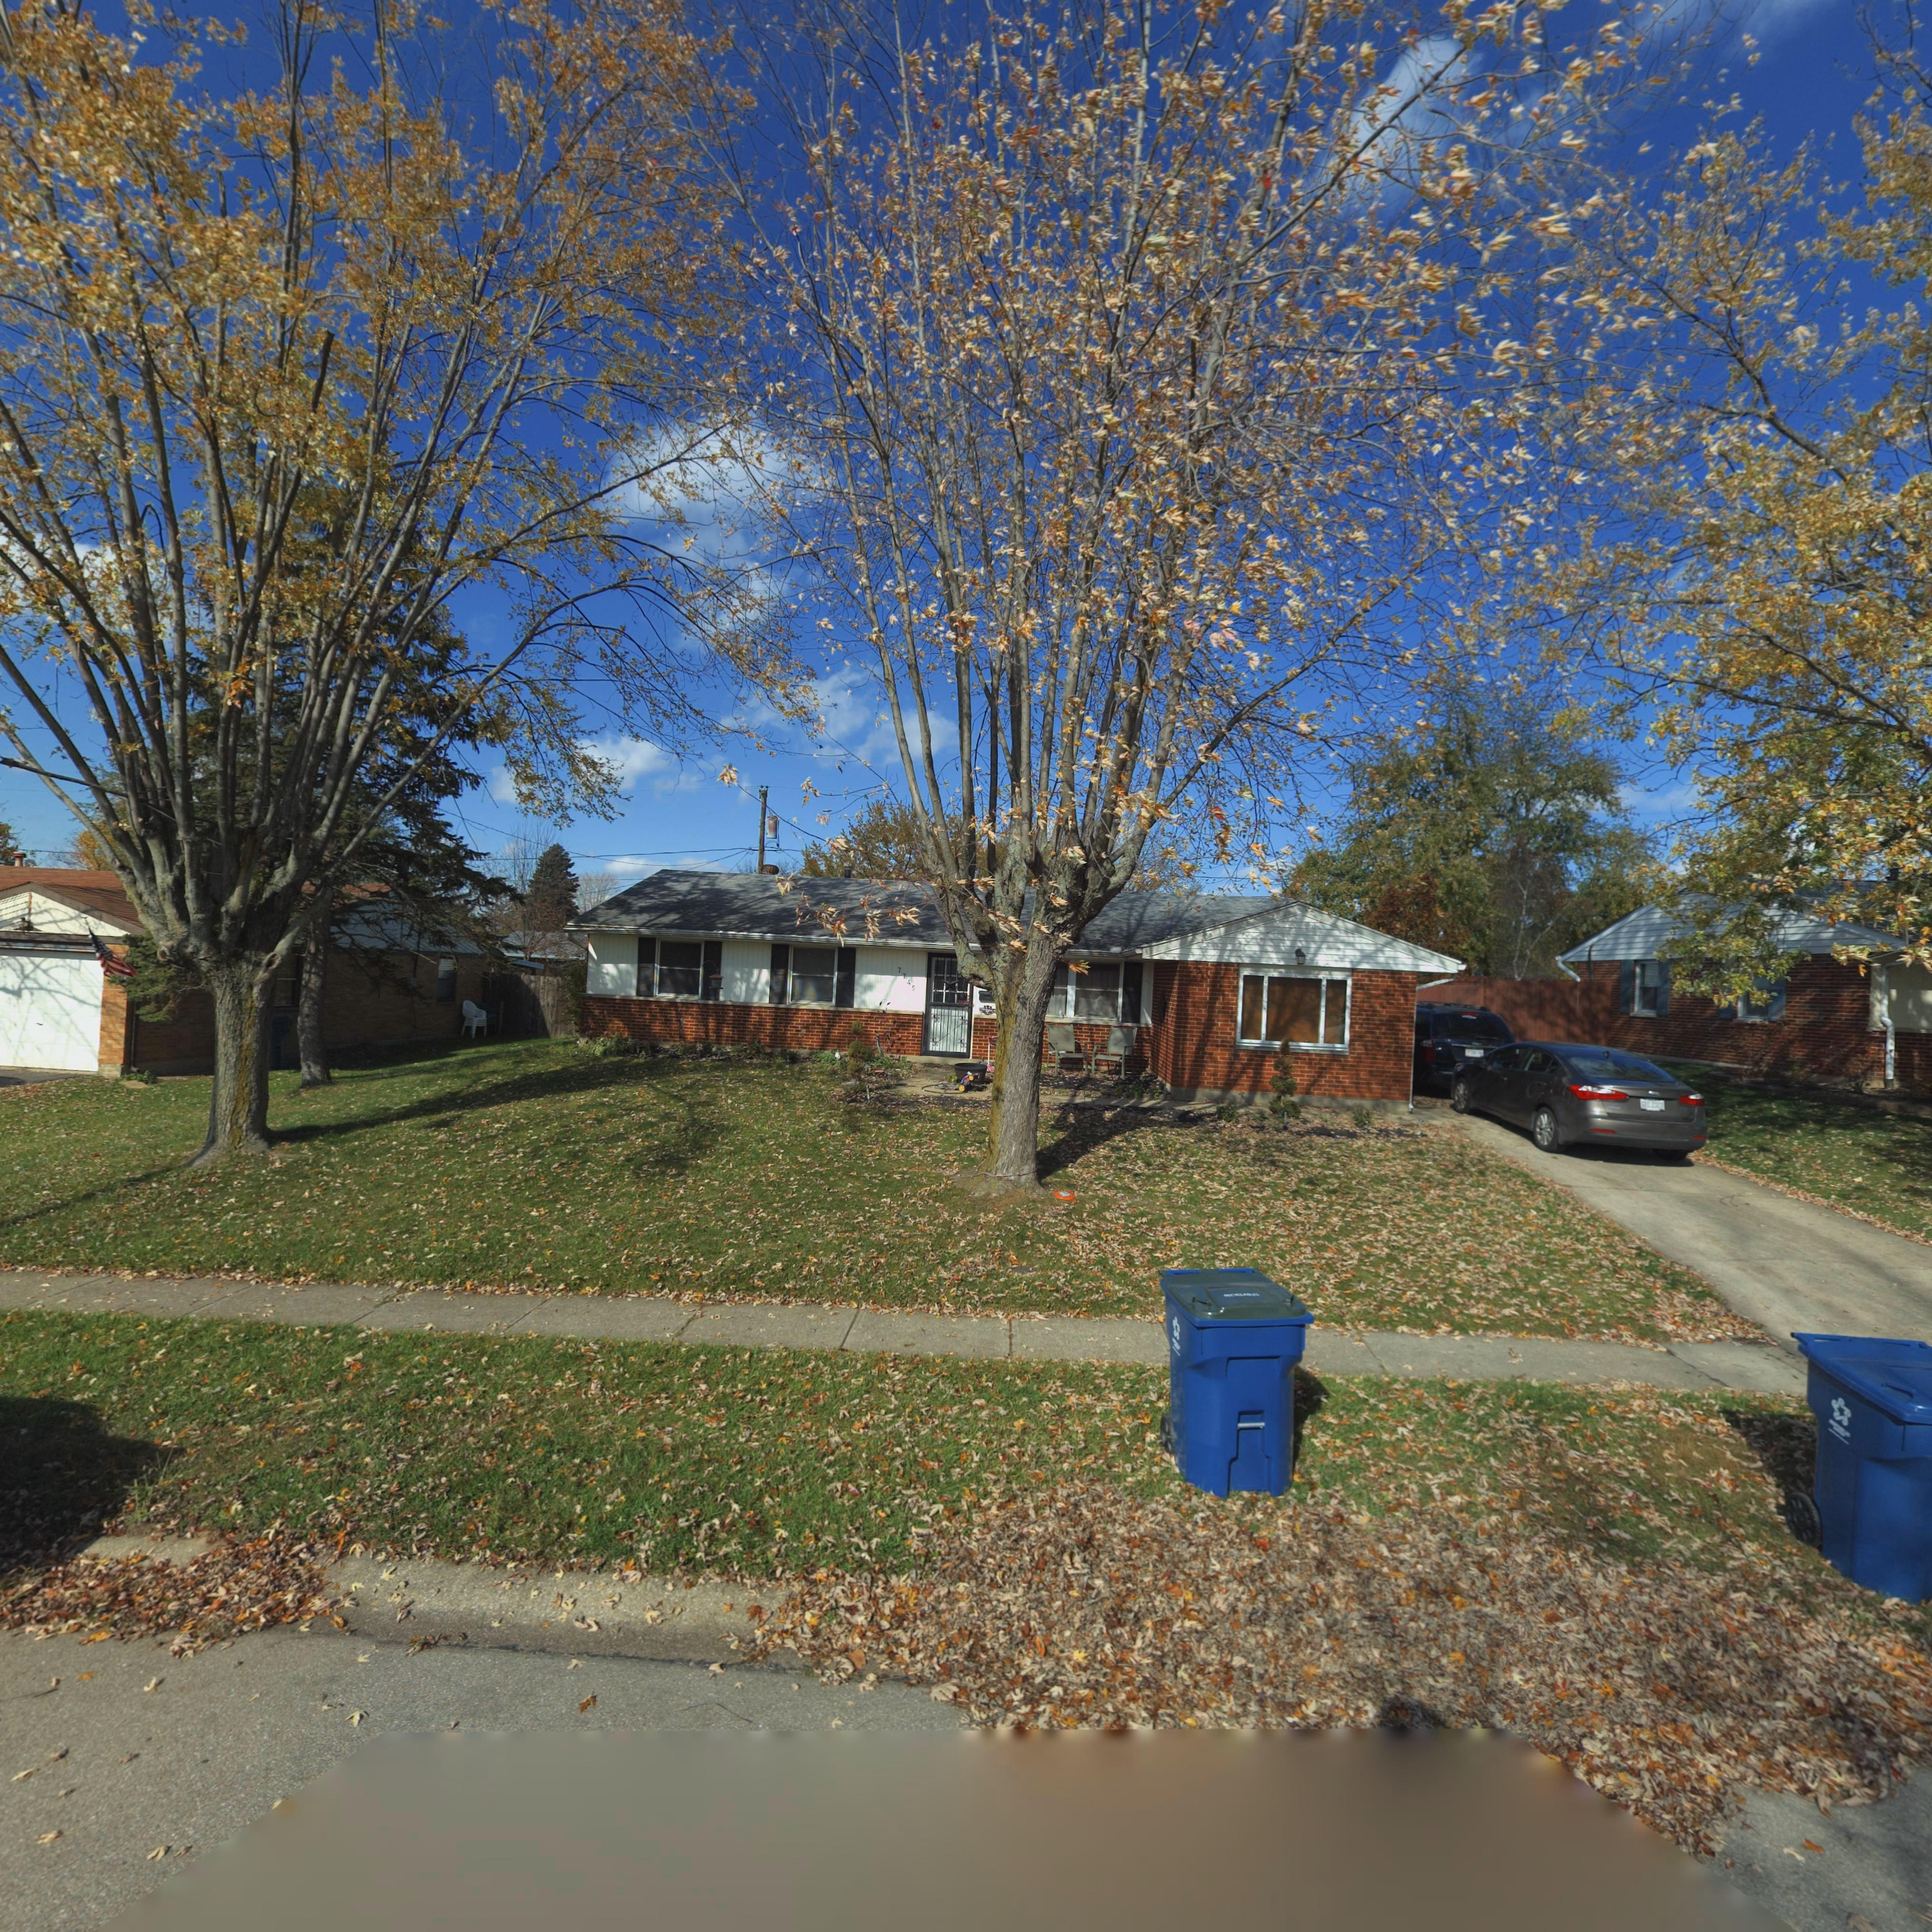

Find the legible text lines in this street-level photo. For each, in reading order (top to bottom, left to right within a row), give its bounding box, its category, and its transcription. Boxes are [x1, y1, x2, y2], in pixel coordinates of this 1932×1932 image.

[898, 966, 915, 992] StreetNumber: 7745